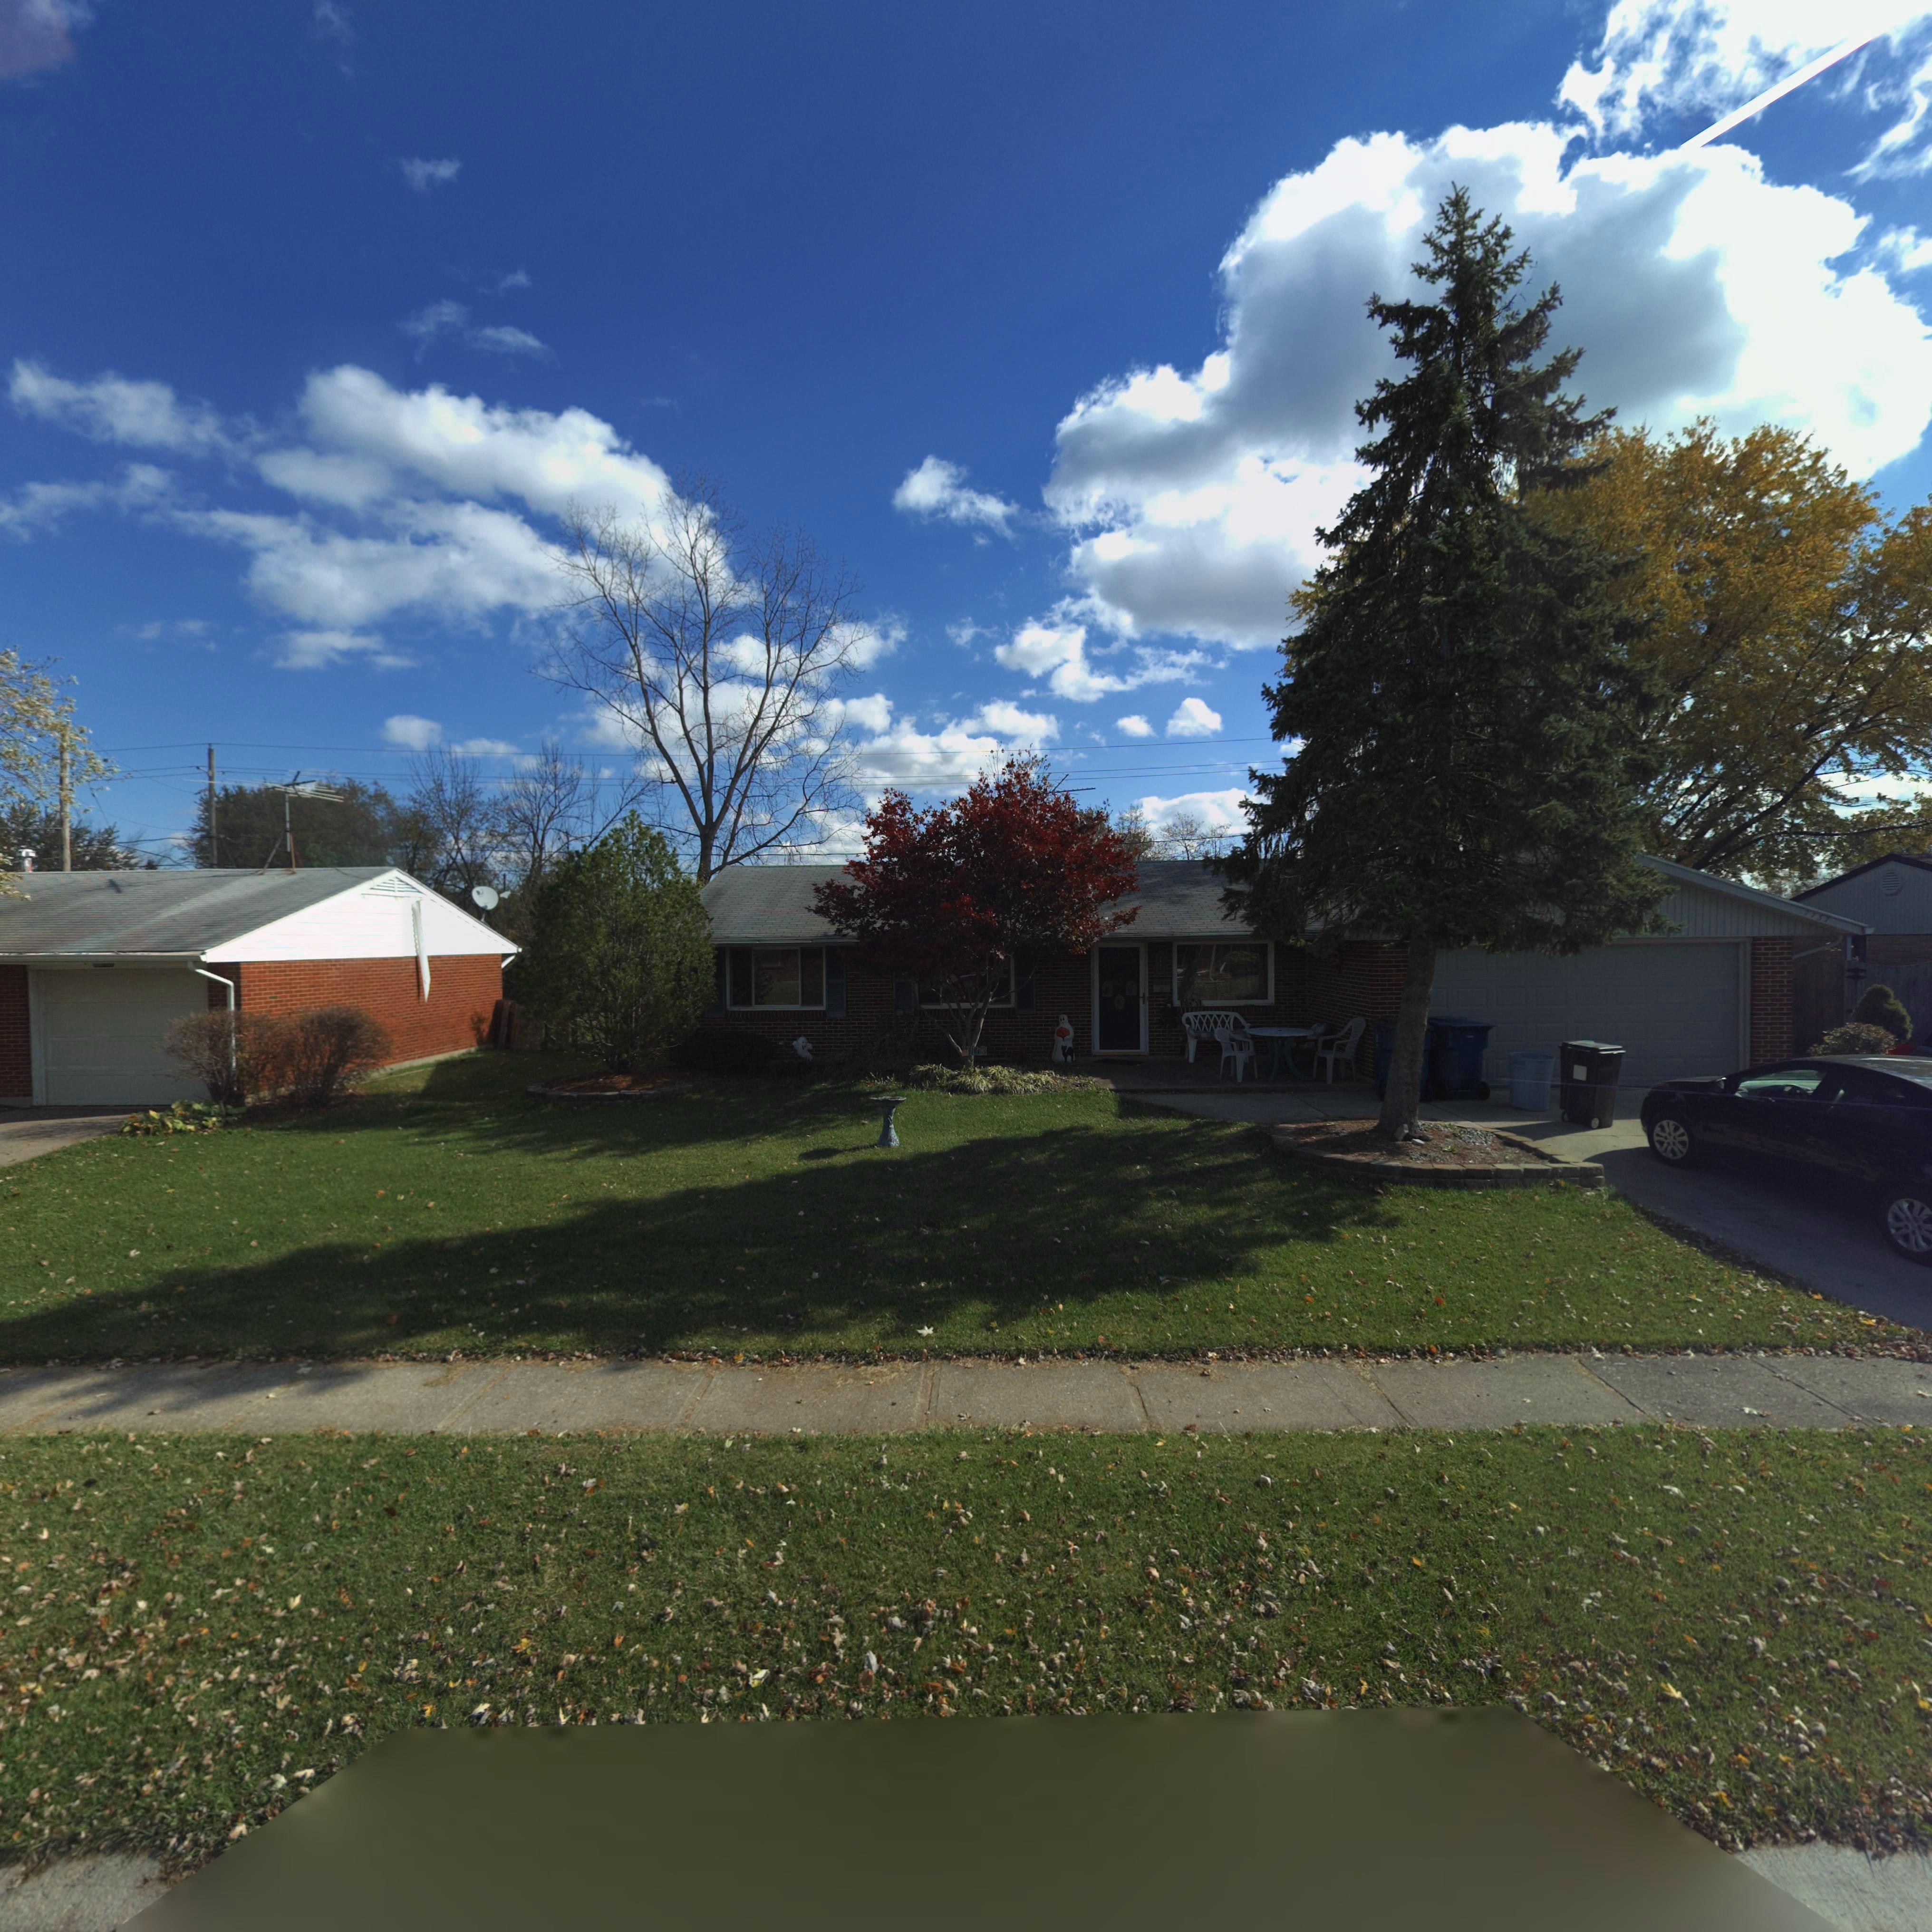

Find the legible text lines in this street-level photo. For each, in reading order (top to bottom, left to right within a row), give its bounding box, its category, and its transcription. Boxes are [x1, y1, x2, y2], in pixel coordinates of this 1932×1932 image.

[1158, 956, 1162, 963] StreetNumber: 7